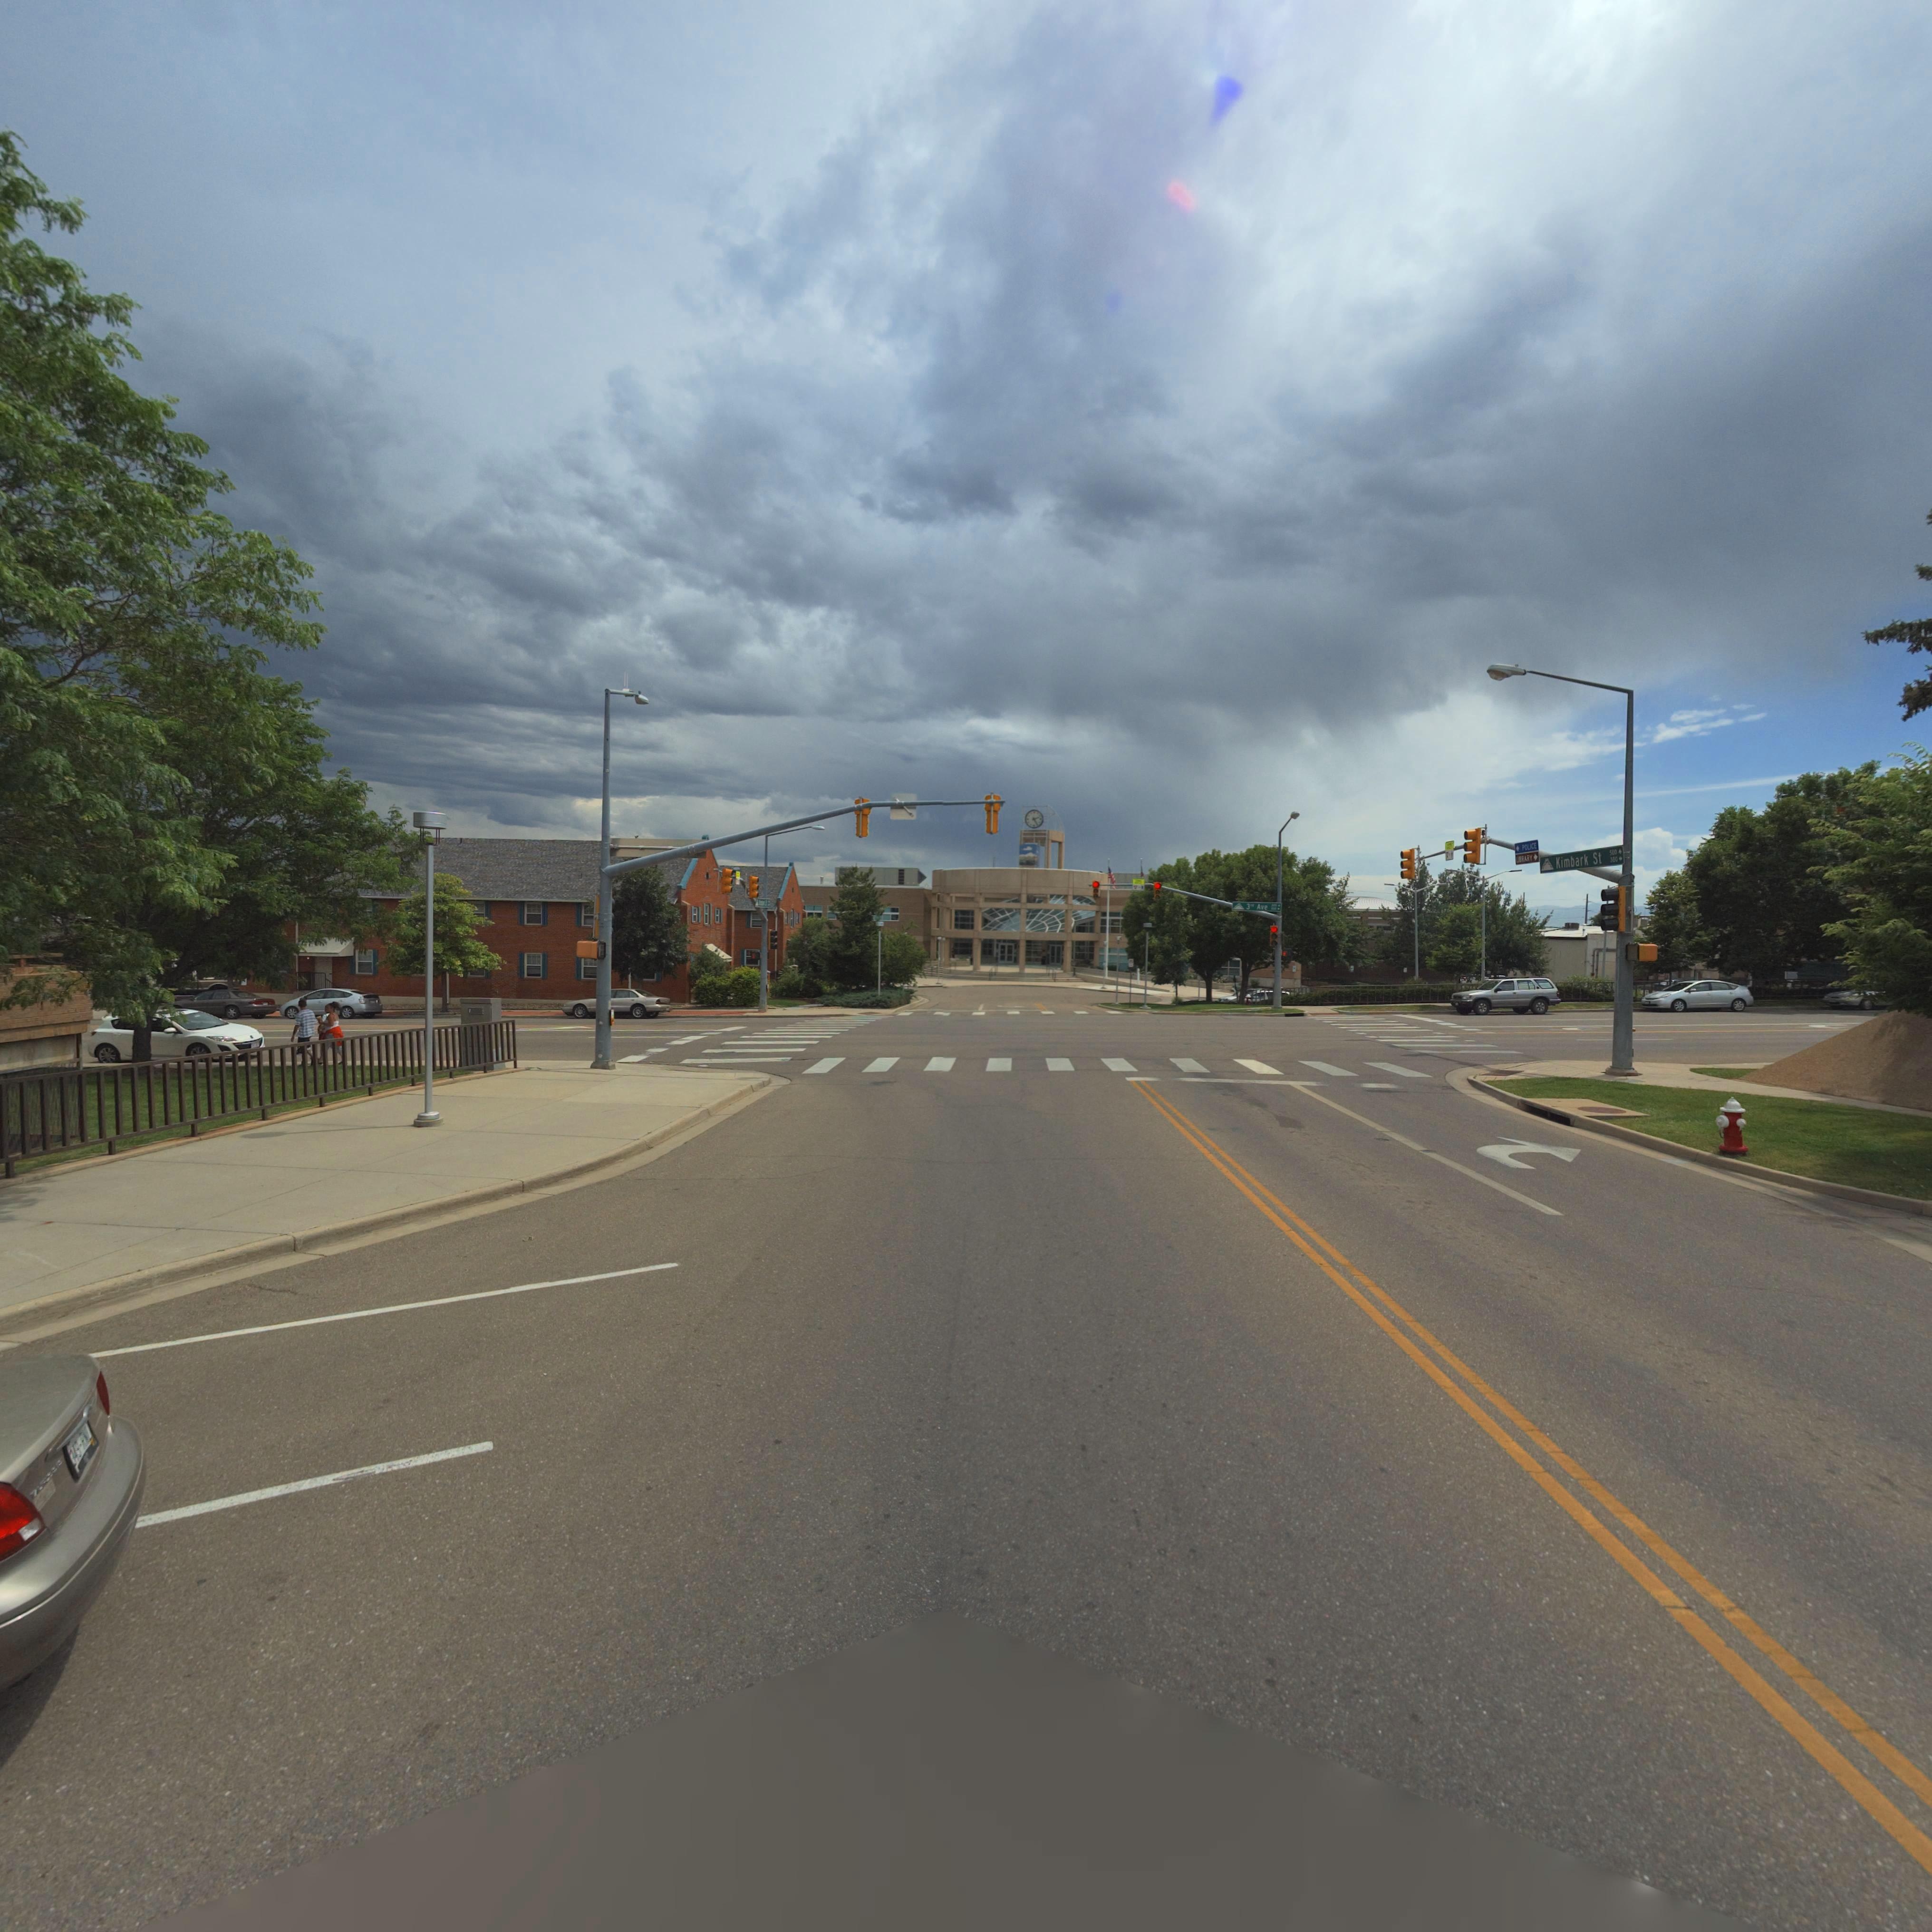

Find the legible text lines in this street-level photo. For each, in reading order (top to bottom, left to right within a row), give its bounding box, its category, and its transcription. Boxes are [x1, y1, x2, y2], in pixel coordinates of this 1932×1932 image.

[1609, 849, 1617, 855] StreetNumberRange: 500
[1555, 851, 1602, 869] StreetName: Kimbark St
[1610, 856, 1622, 862] StreetNumberRange: 300 ->
[1246, 903, 1268, 910] StreetName: 3rd Ave